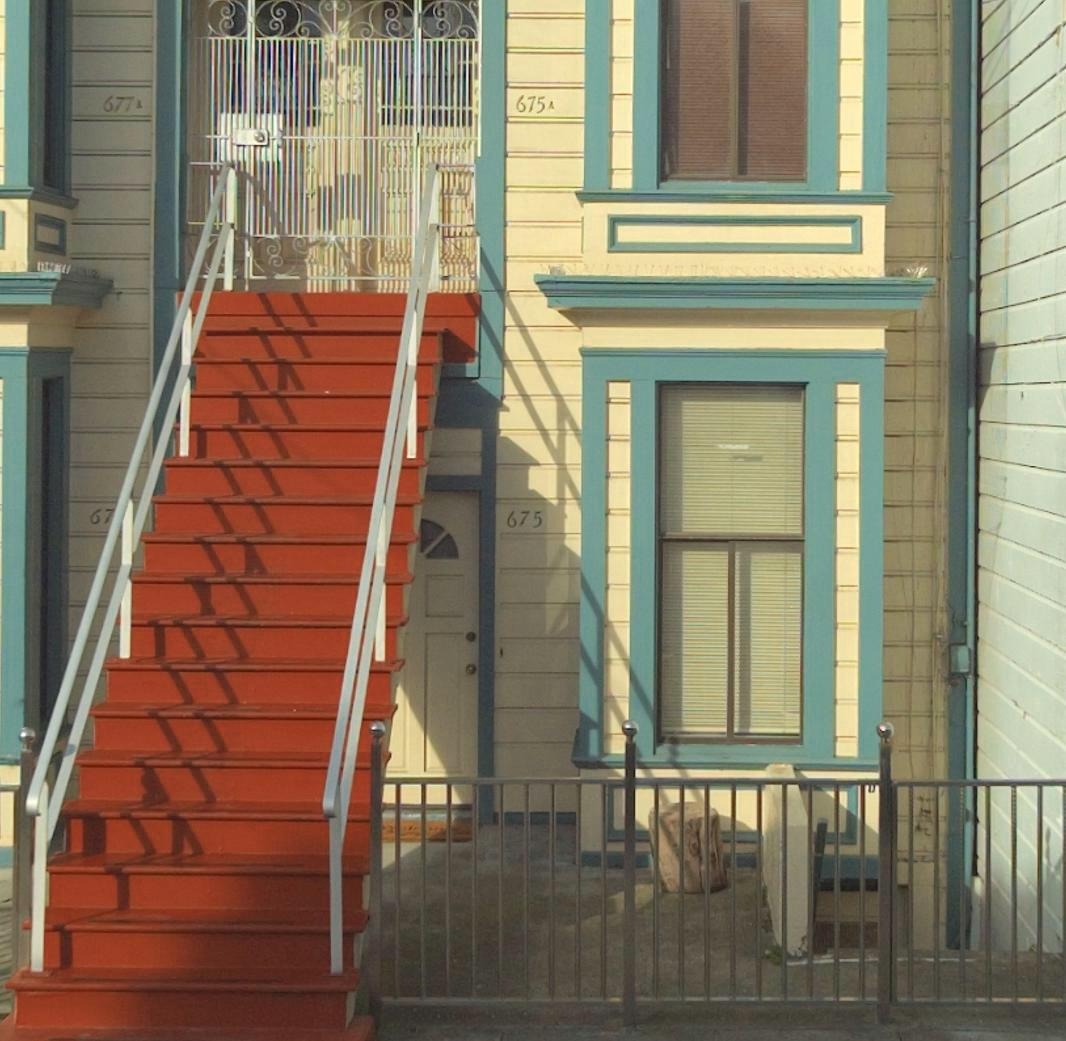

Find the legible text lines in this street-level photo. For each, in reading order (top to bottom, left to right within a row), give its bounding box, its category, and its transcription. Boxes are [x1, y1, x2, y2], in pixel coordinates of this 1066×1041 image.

[87, 506, 118, 527] StreetNumber: 67
[504, 508, 544, 530] StreetNumber: 675